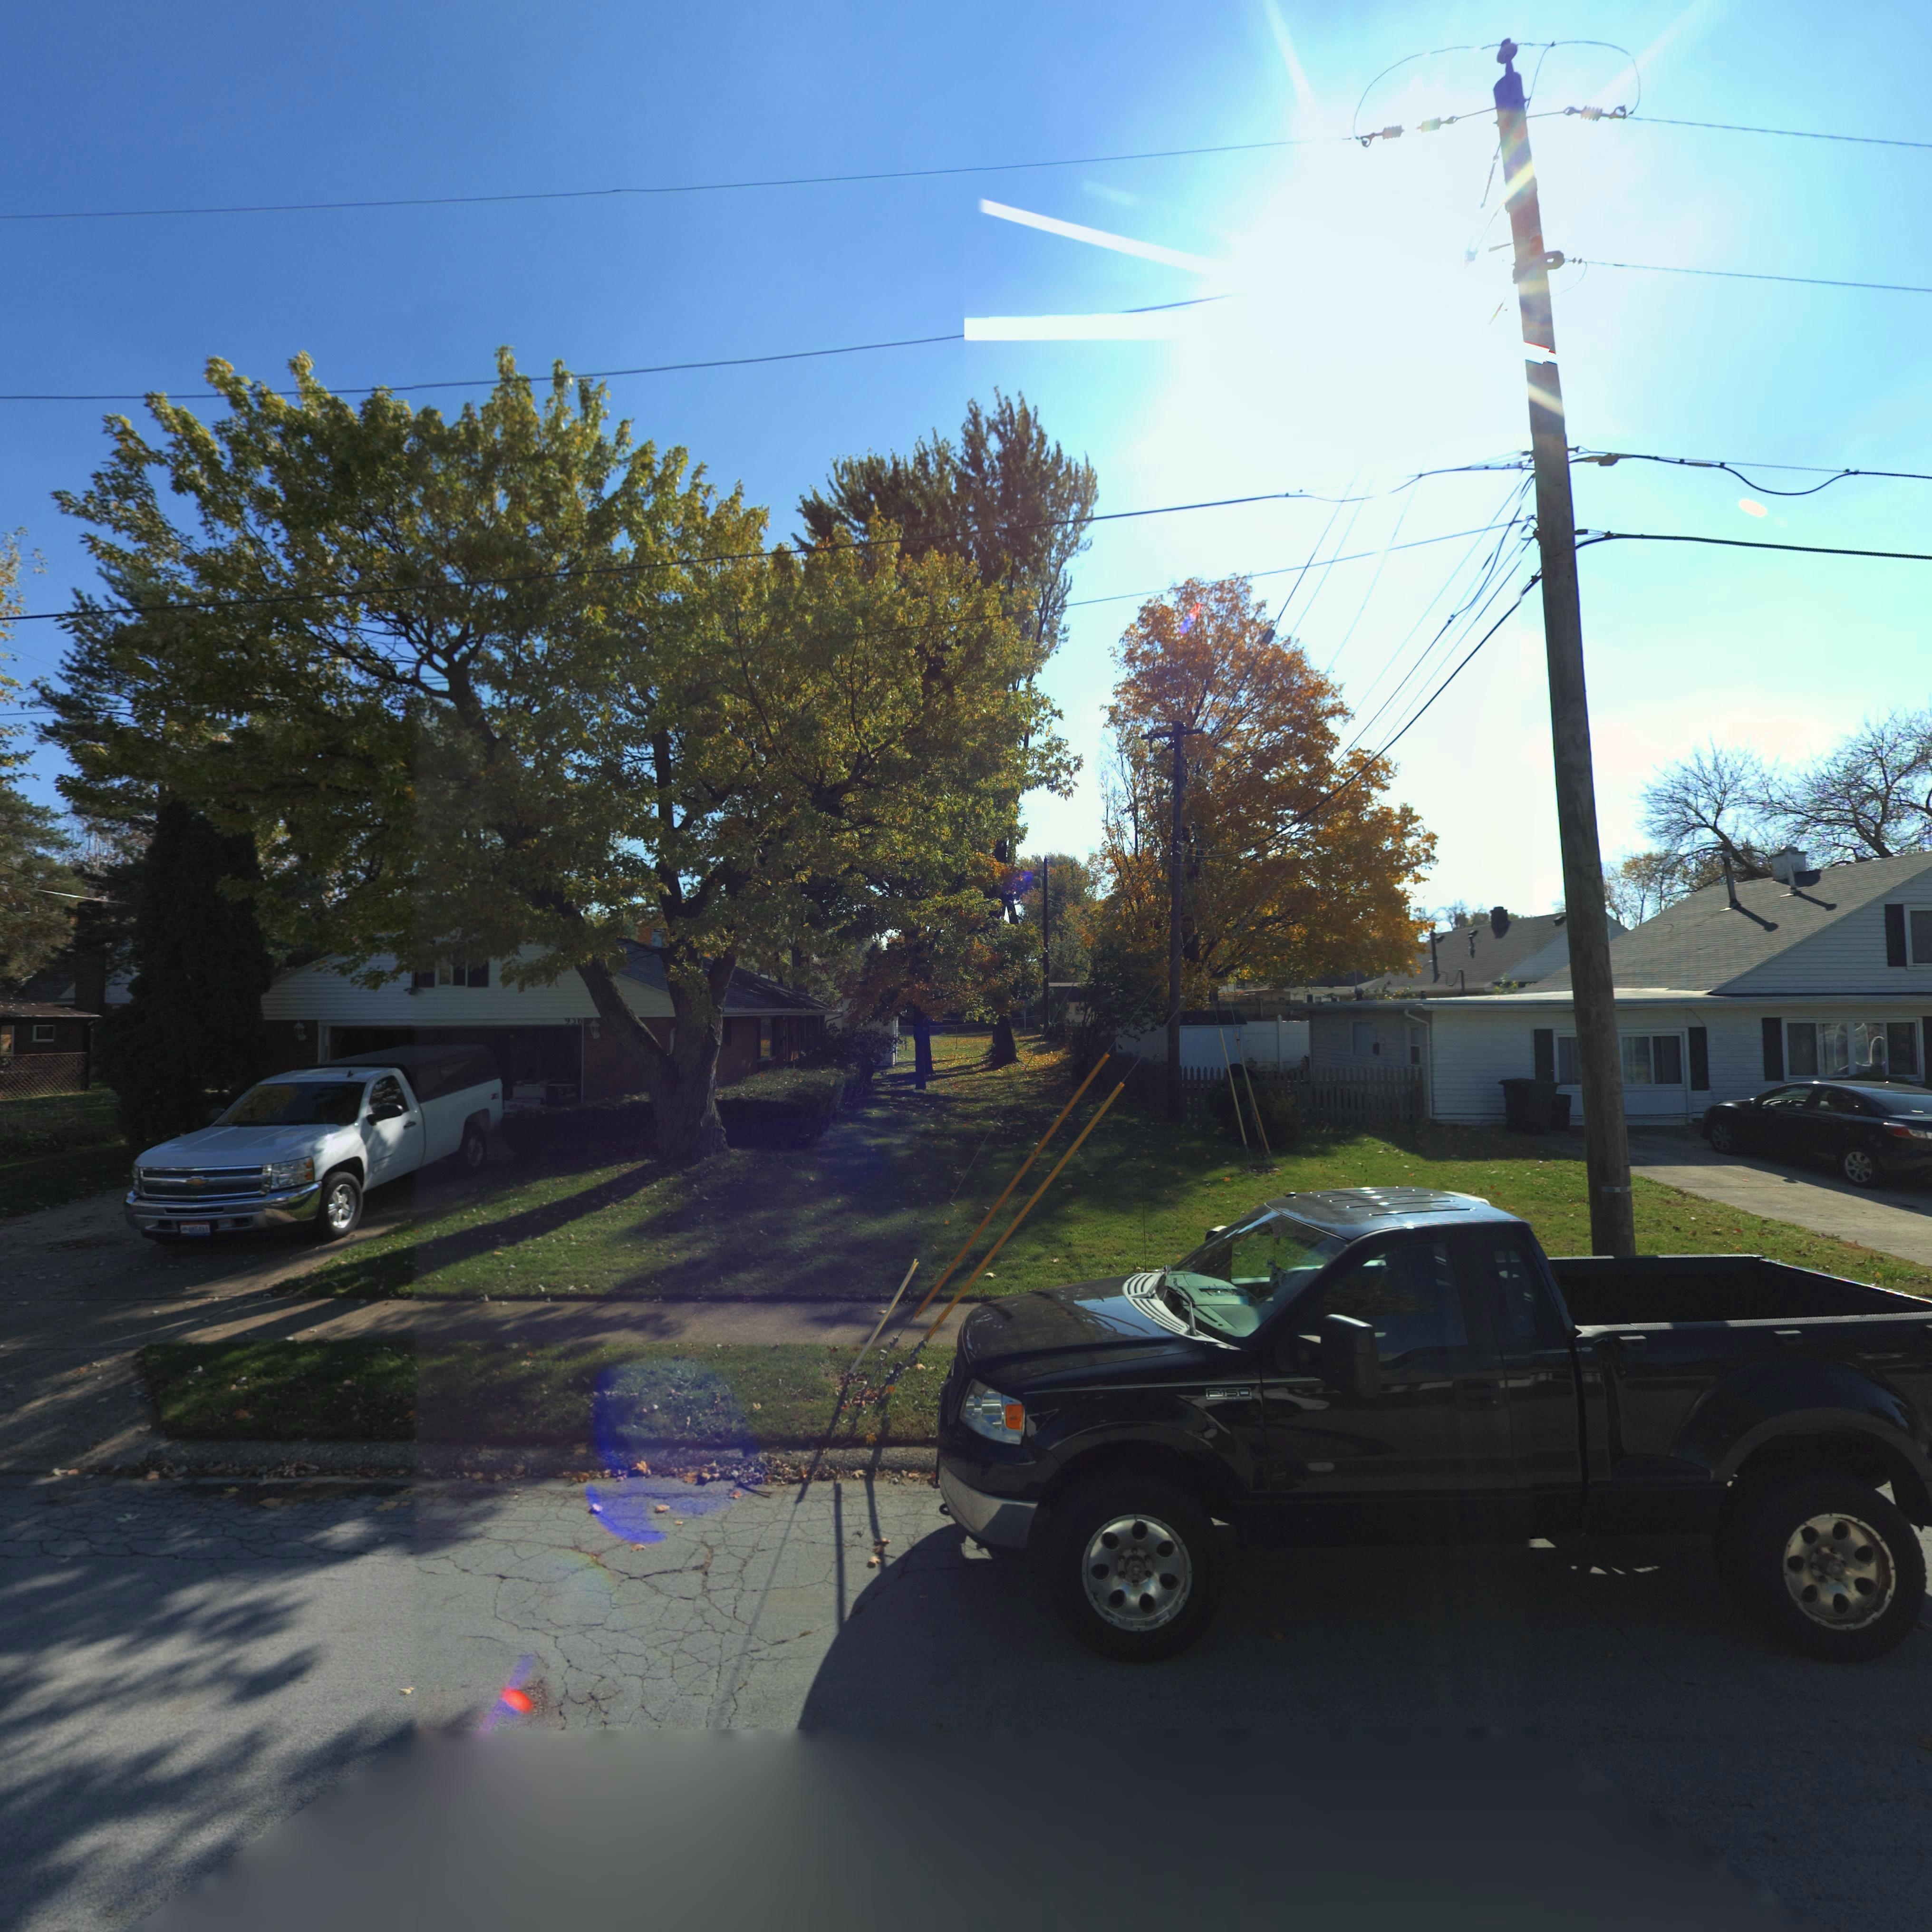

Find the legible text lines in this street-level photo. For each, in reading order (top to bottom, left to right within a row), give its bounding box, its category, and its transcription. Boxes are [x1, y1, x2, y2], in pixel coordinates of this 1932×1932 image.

[564, 1017, 583, 1025] StreetNumber: **6
[188, 1226, 208, 1233] None: **64*A
[1207, 1388, 1251, 1397] None: F-150